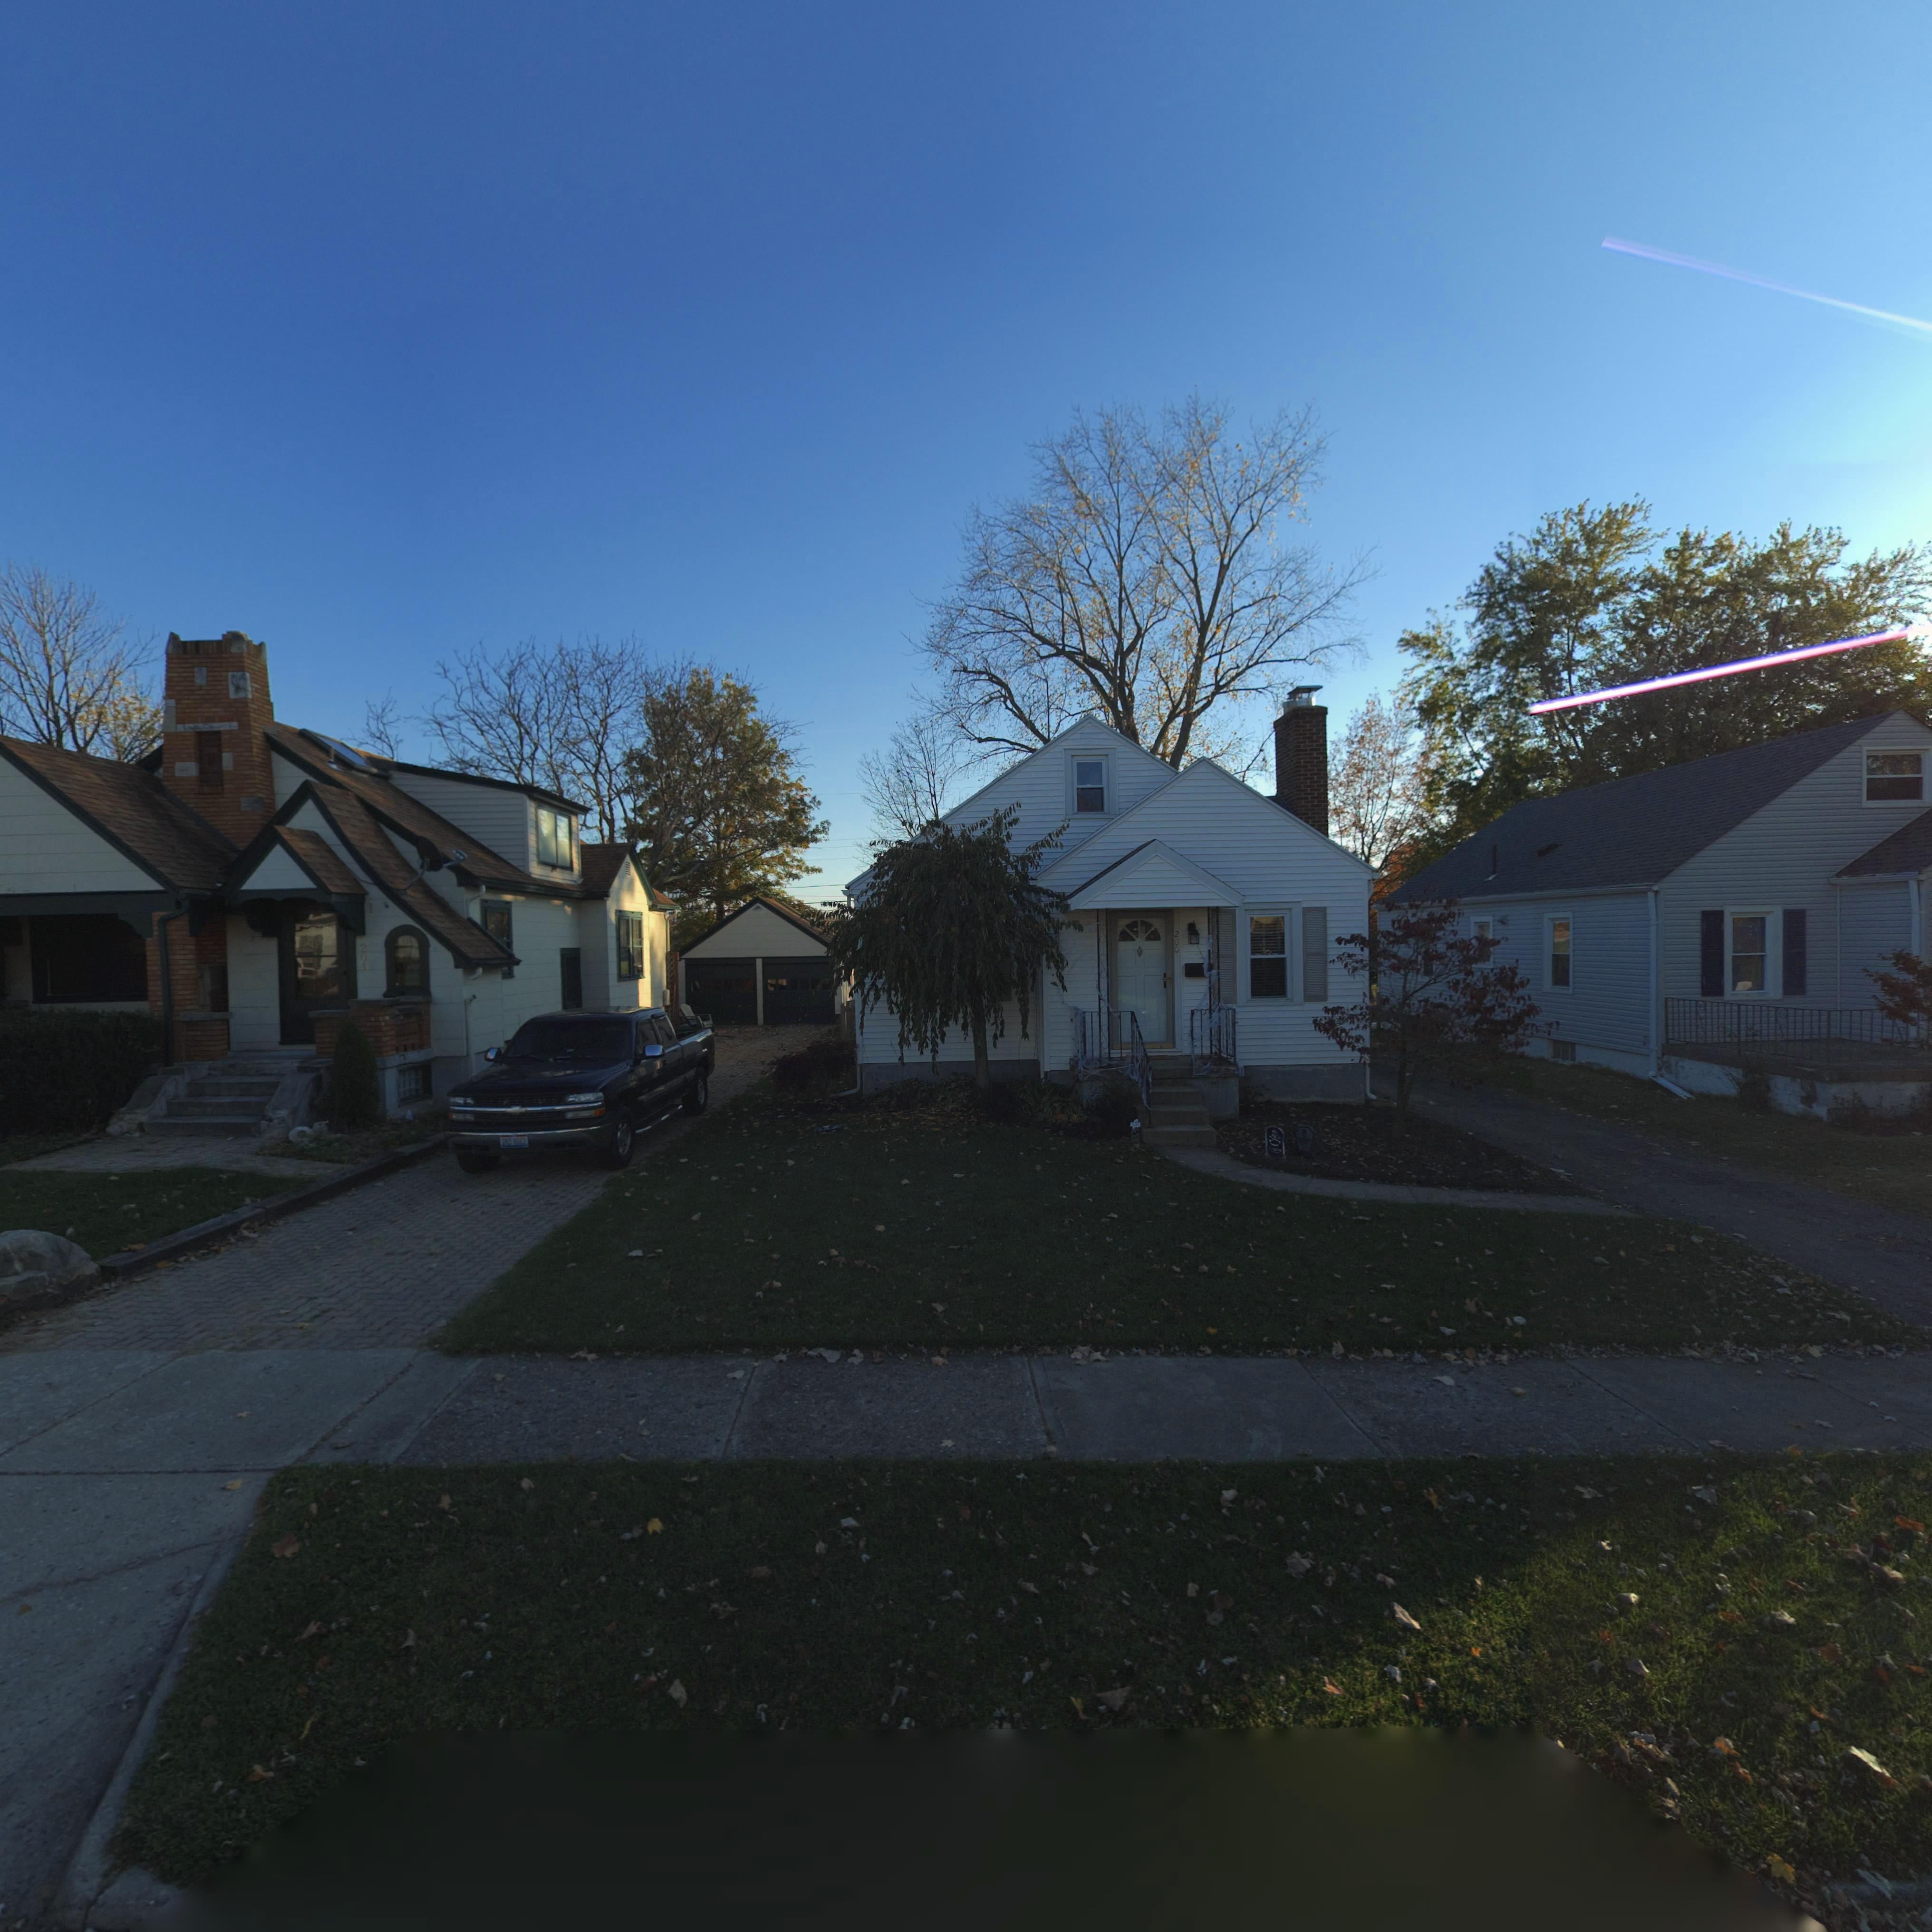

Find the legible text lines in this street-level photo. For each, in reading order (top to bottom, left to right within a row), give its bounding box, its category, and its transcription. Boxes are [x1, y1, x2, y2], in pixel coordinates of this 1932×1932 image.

[1174, 930, 1180, 954] StreetNumber: 200
[360, 942, 368, 972] StreetNumber: 204